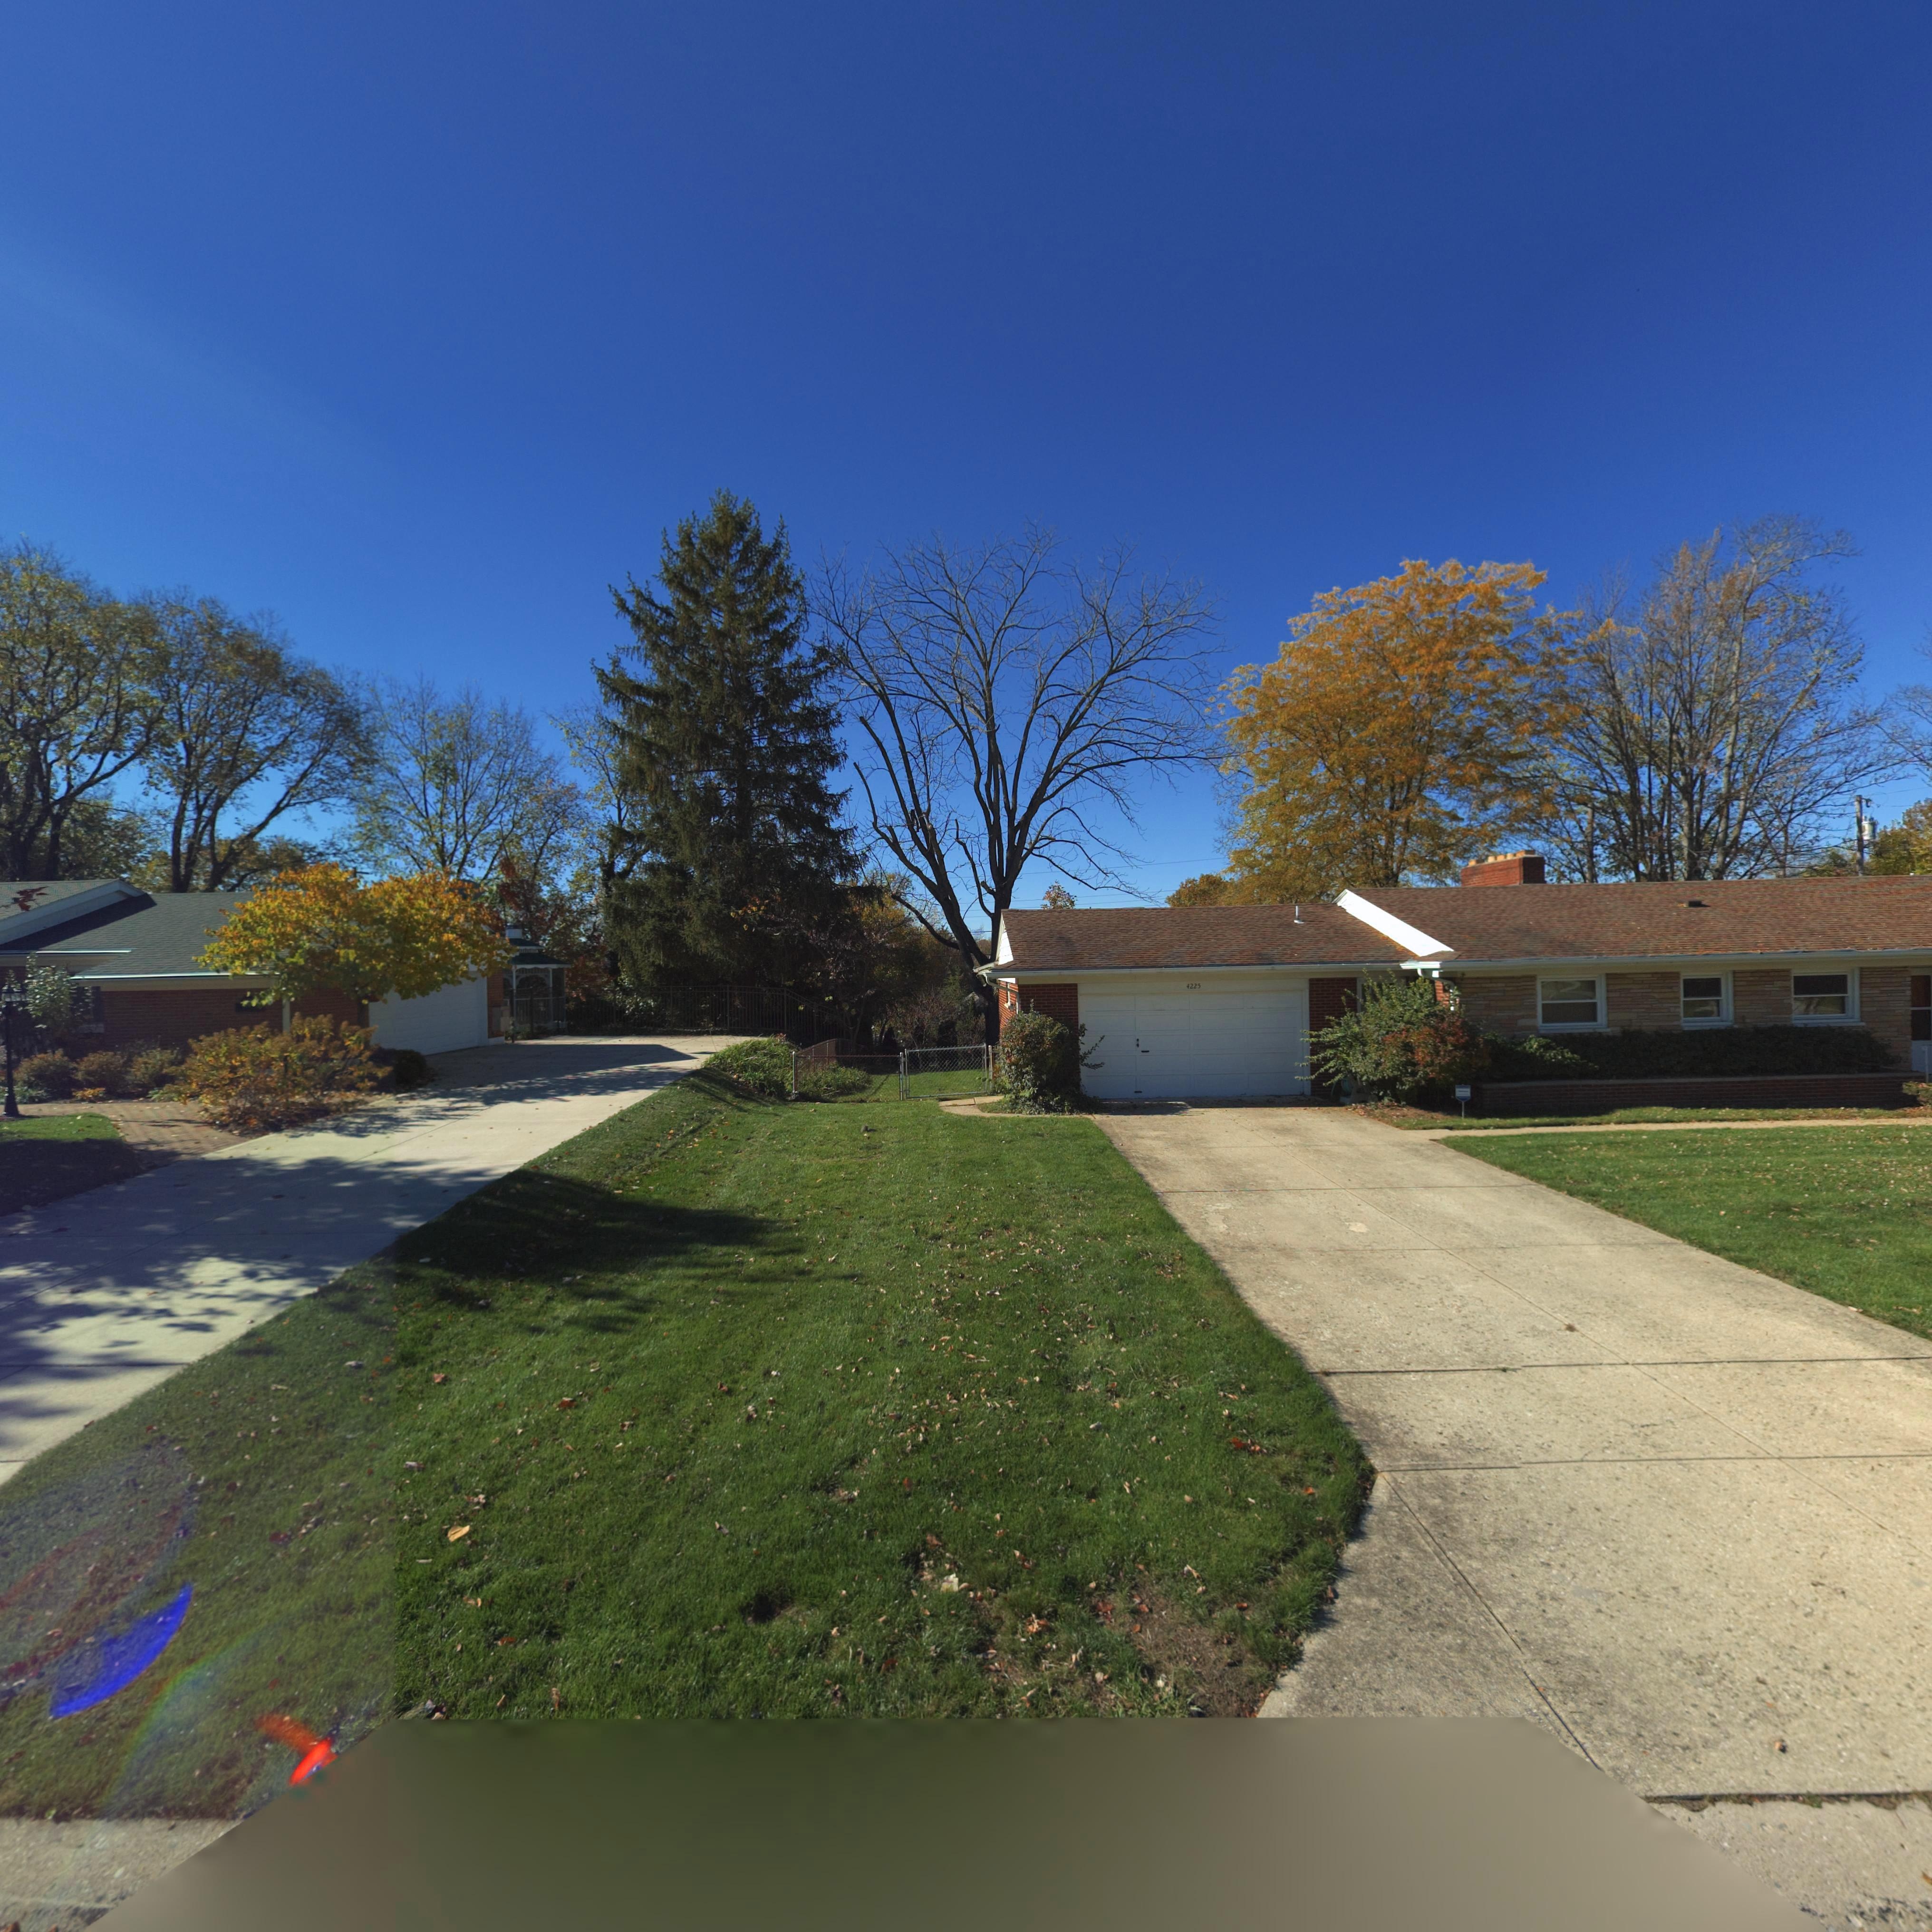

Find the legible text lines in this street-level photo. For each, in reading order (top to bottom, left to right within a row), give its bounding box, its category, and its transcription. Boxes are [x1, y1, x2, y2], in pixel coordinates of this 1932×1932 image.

[1186, 983, 1201, 989] StreetNumber: 4225